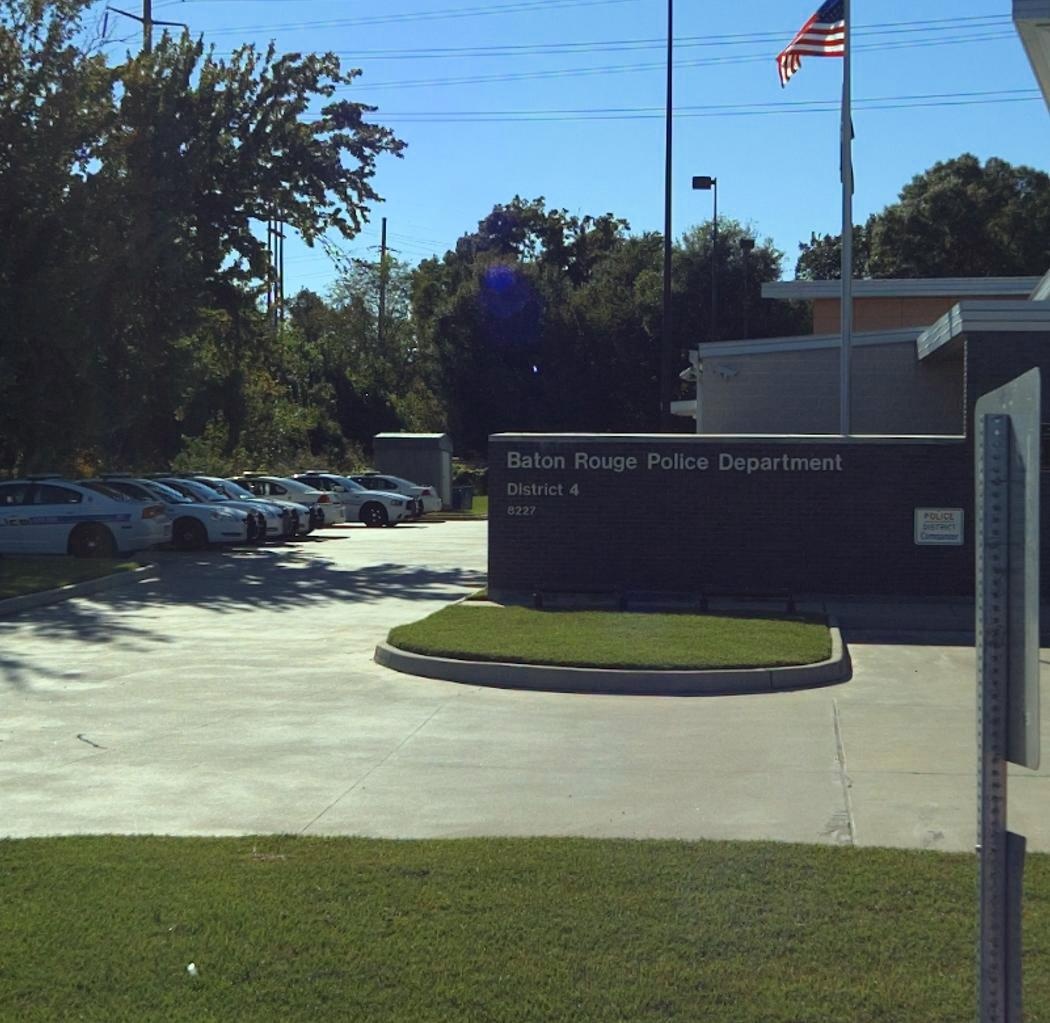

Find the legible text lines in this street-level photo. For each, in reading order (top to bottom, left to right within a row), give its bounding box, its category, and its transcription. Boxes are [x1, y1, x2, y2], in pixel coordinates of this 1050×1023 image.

[505, 449, 844, 475] BusinessName: Baton Rouge Police Department
[506, 480, 580, 498] BusinessName: District 4
[506, 504, 538, 517] StreetNumber: 8227
[922, 511, 955, 521] None: POLICE
[920, 522, 956, 532] None: DISTRICT